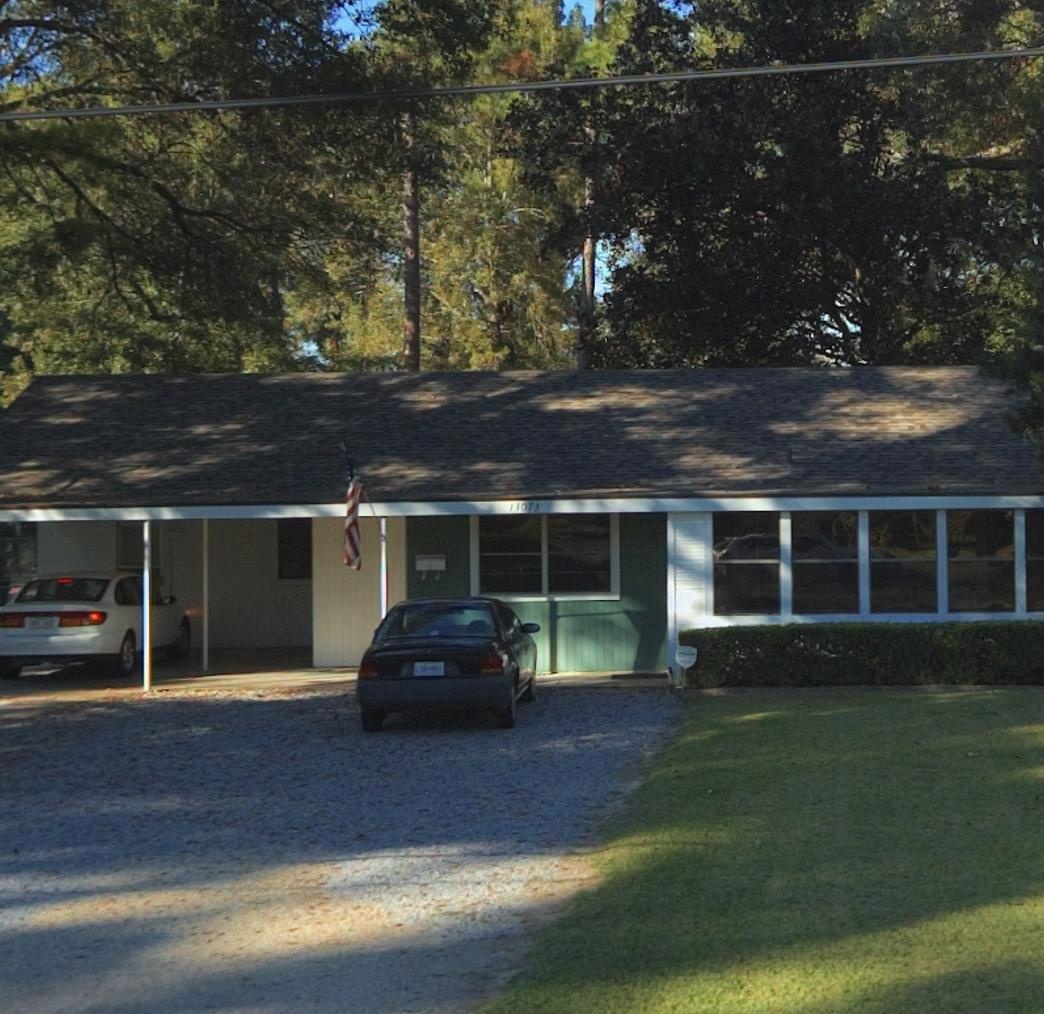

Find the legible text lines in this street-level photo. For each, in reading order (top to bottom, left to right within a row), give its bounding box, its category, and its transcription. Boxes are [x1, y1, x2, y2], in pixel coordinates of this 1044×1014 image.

[508, 501, 541, 512] StreetNumber: 11073